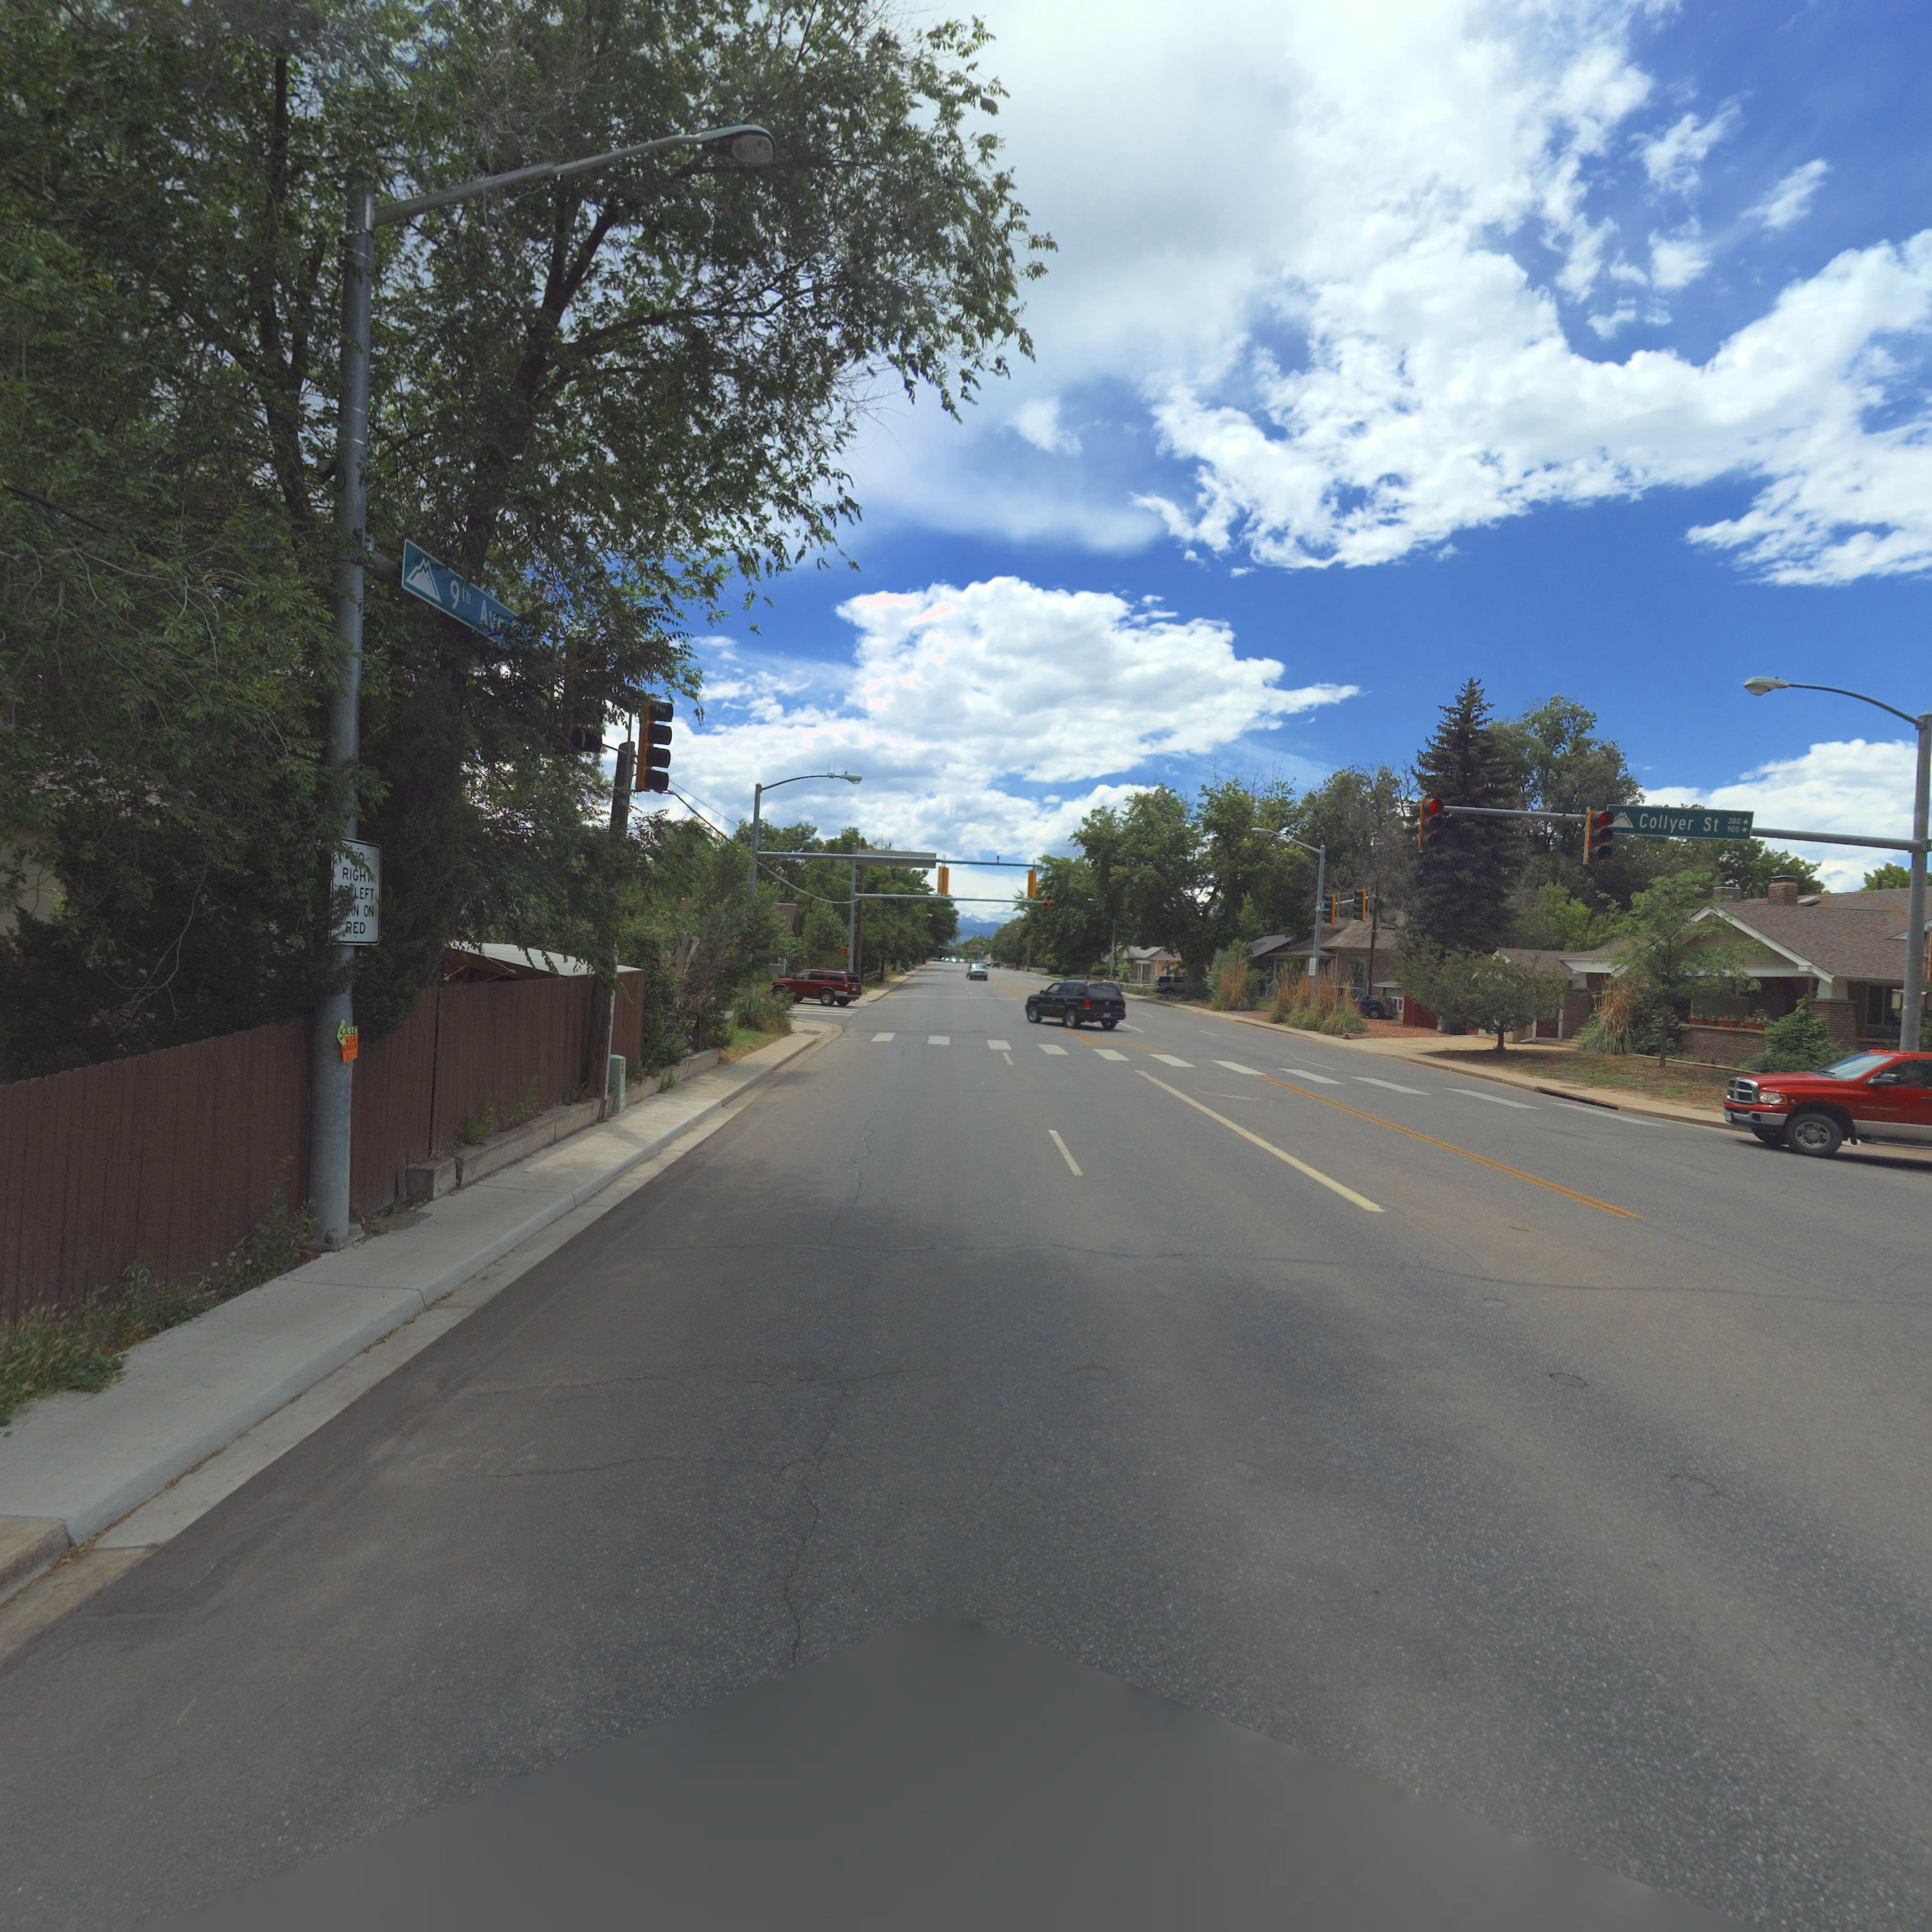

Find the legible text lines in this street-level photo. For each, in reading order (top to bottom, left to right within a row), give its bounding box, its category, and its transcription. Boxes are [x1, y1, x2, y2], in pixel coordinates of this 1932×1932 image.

[449, 578, 507, 639] StreetName: 9th Av*
[1639, 812, 1720, 834] StreetName: Collyer St
[1727, 817, 1741, 825] StreetNumberRange: 300
[1726, 825, 1748, 833] StreetNumberRange: 900 ->
[1321, 903, 1325, 909] StreetName: 9**